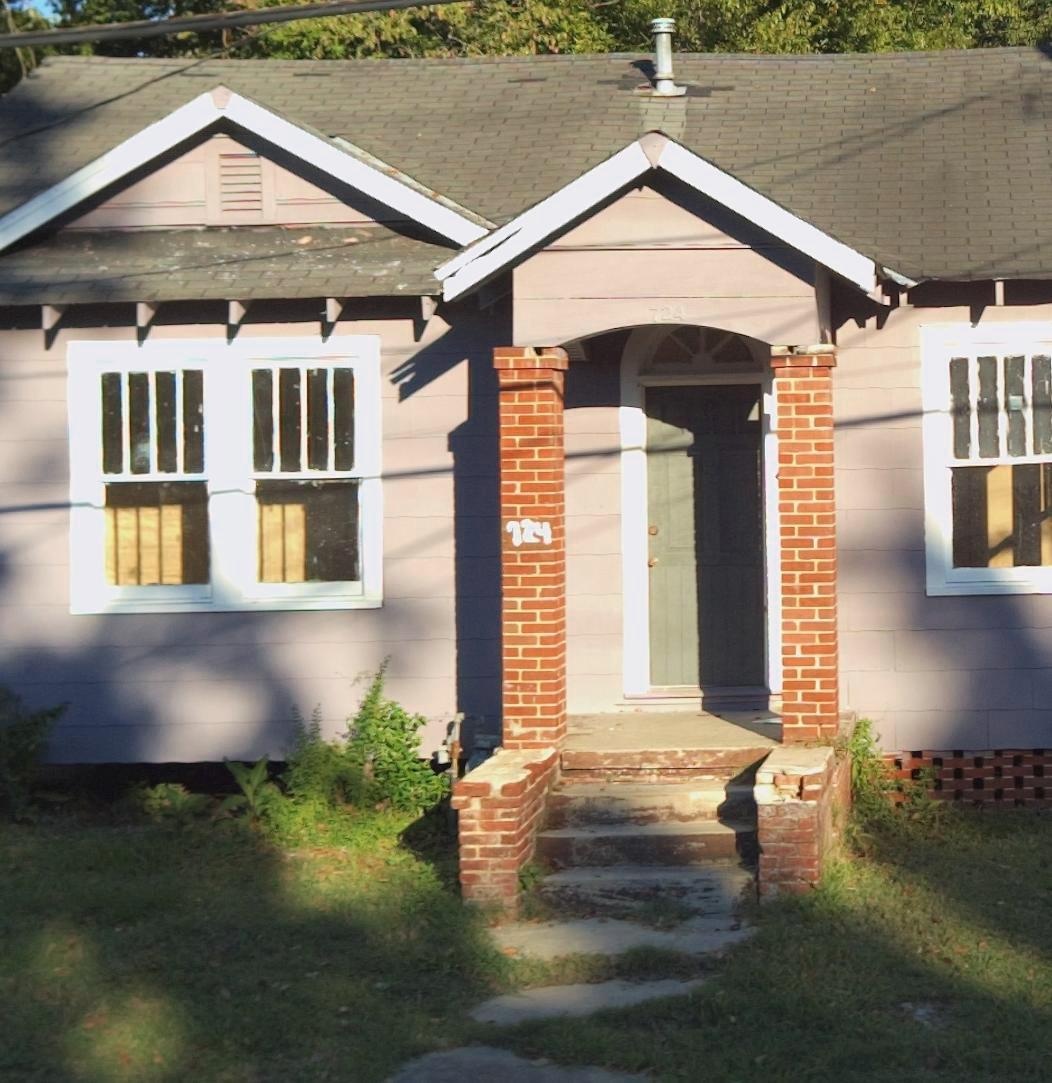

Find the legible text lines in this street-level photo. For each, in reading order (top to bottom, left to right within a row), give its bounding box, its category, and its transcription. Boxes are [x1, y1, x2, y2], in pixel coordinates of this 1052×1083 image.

[503, 517, 554, 549] StreetNumber: 724